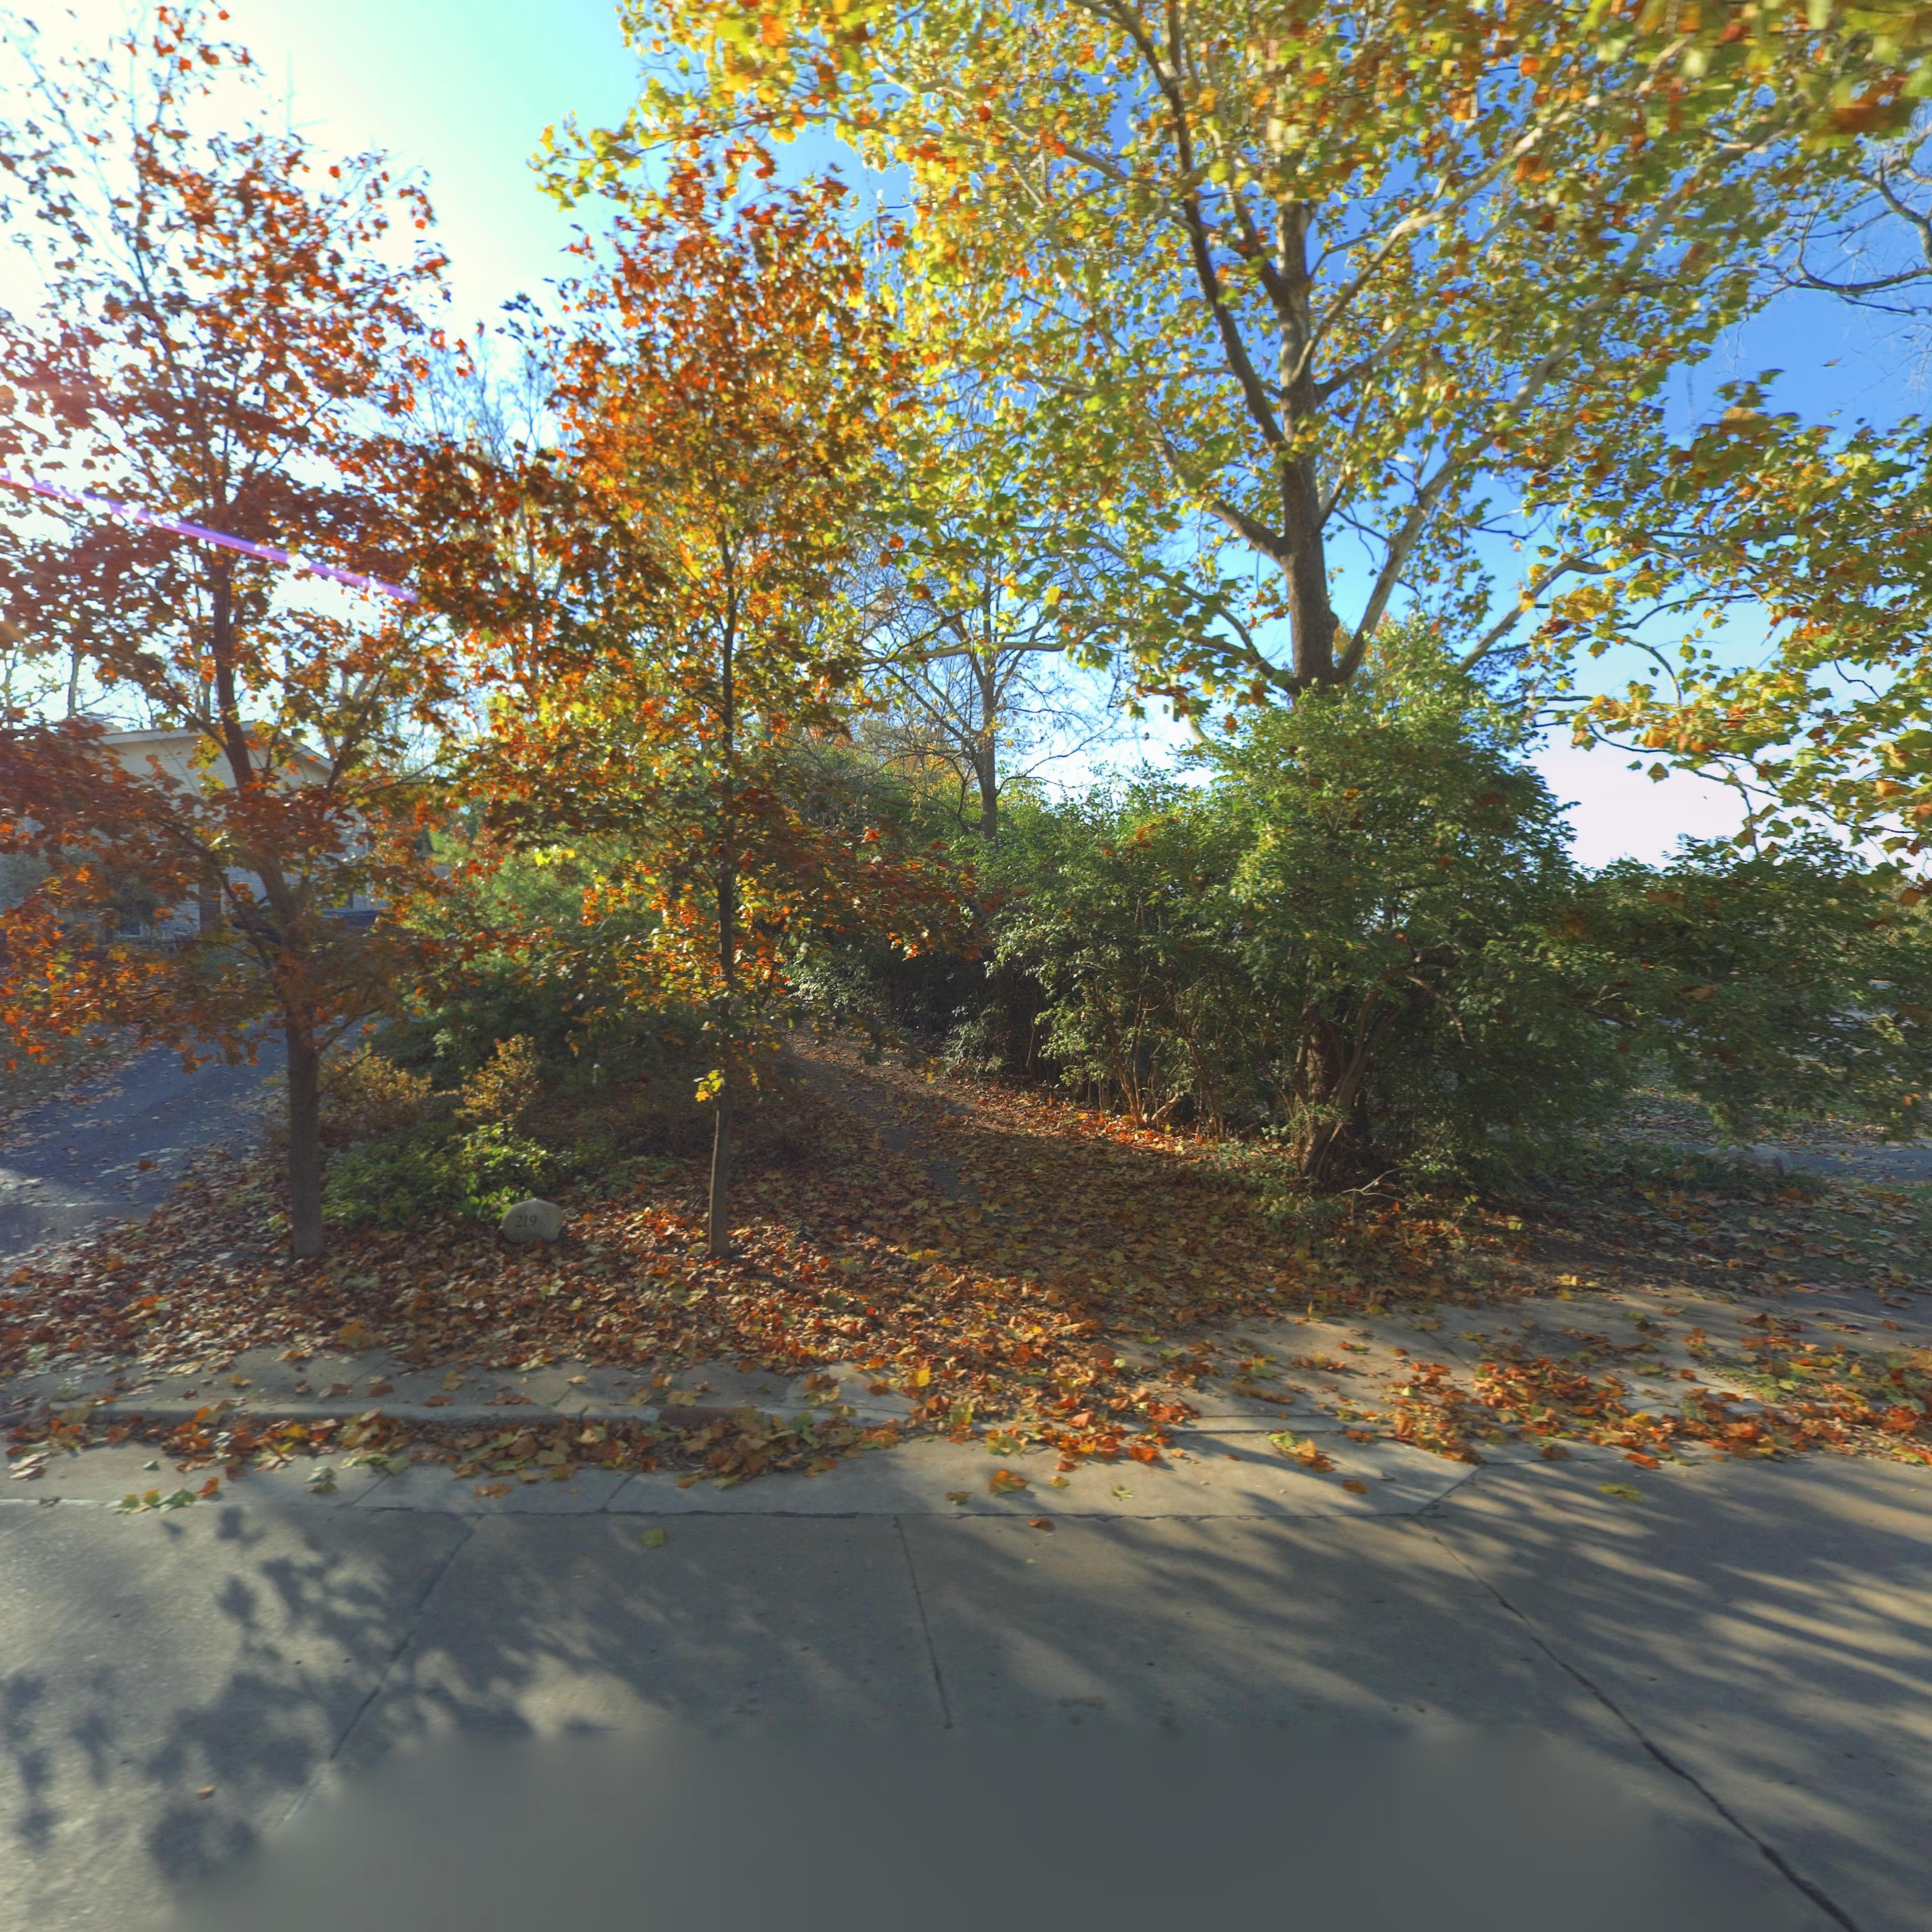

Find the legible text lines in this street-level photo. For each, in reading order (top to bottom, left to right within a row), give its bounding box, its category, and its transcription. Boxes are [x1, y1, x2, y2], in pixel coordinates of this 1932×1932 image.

[514, 1214, 539, 1227] StreetNumber: 219